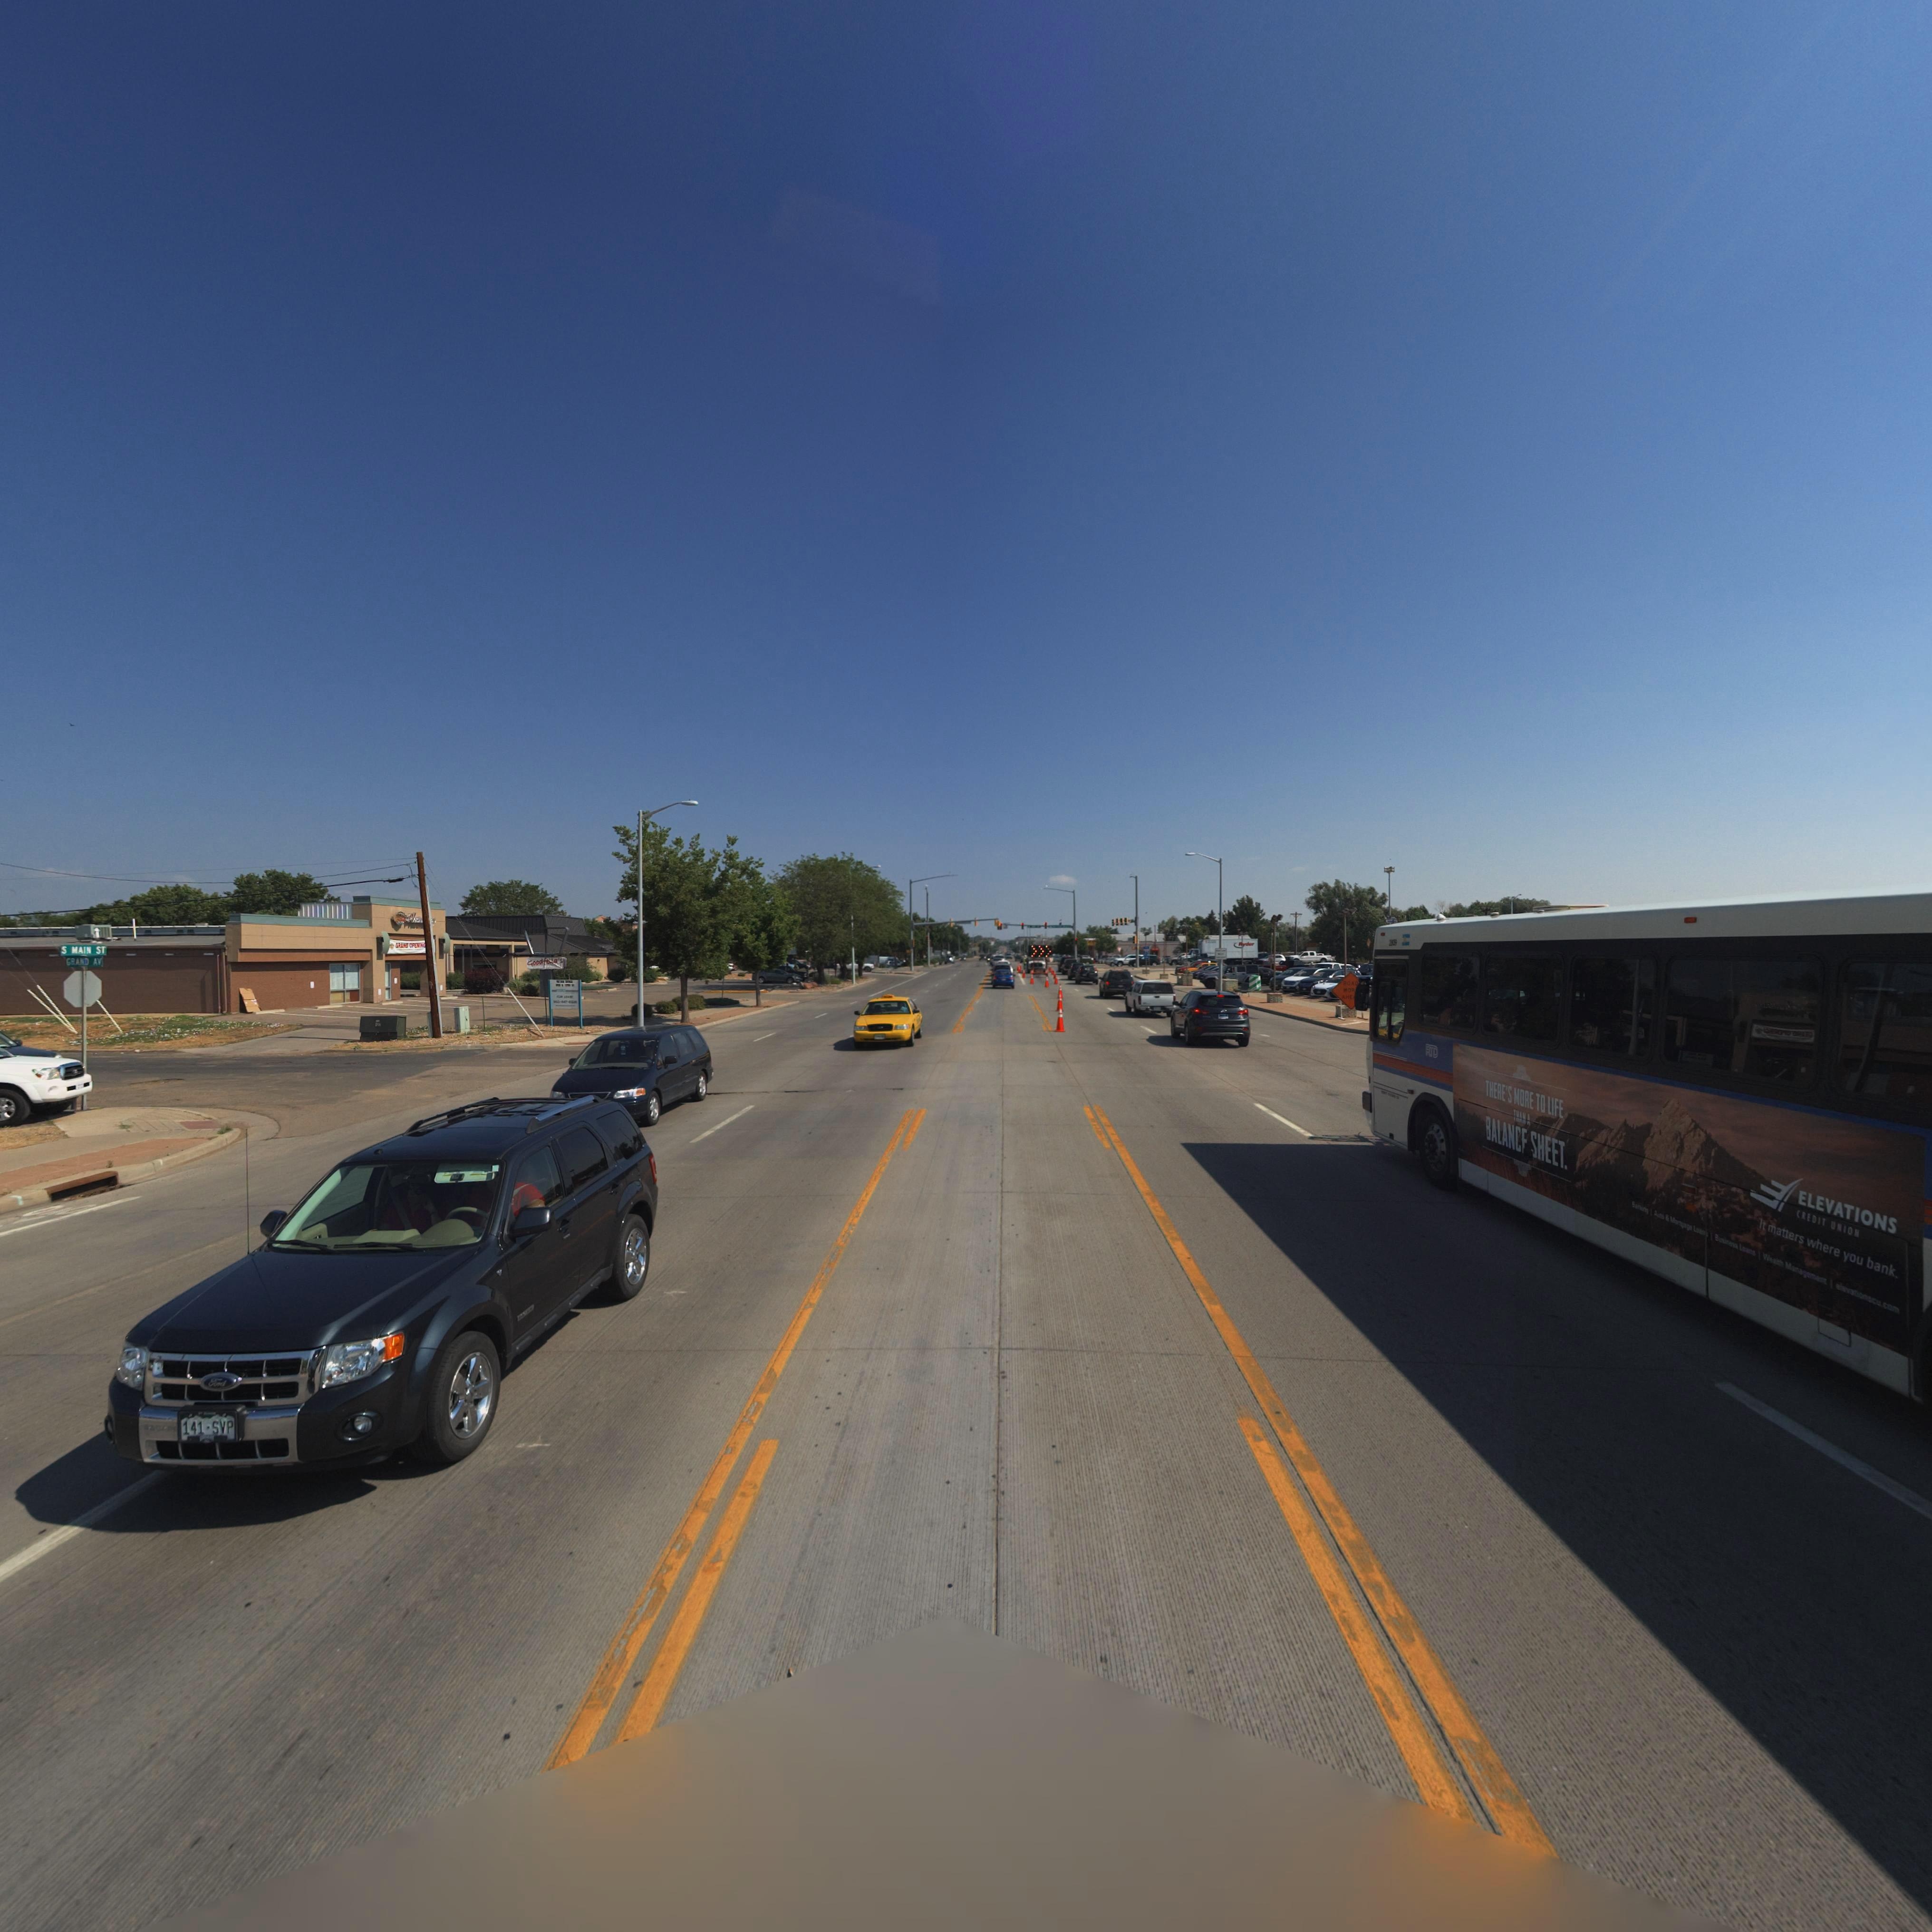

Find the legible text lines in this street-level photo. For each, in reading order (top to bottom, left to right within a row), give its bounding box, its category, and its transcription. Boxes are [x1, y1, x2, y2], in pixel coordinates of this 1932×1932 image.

[61, 946, 106, 954] StreetName: S MAIN ST
[66, 957, 103, 966] StreetName: GRAND AV